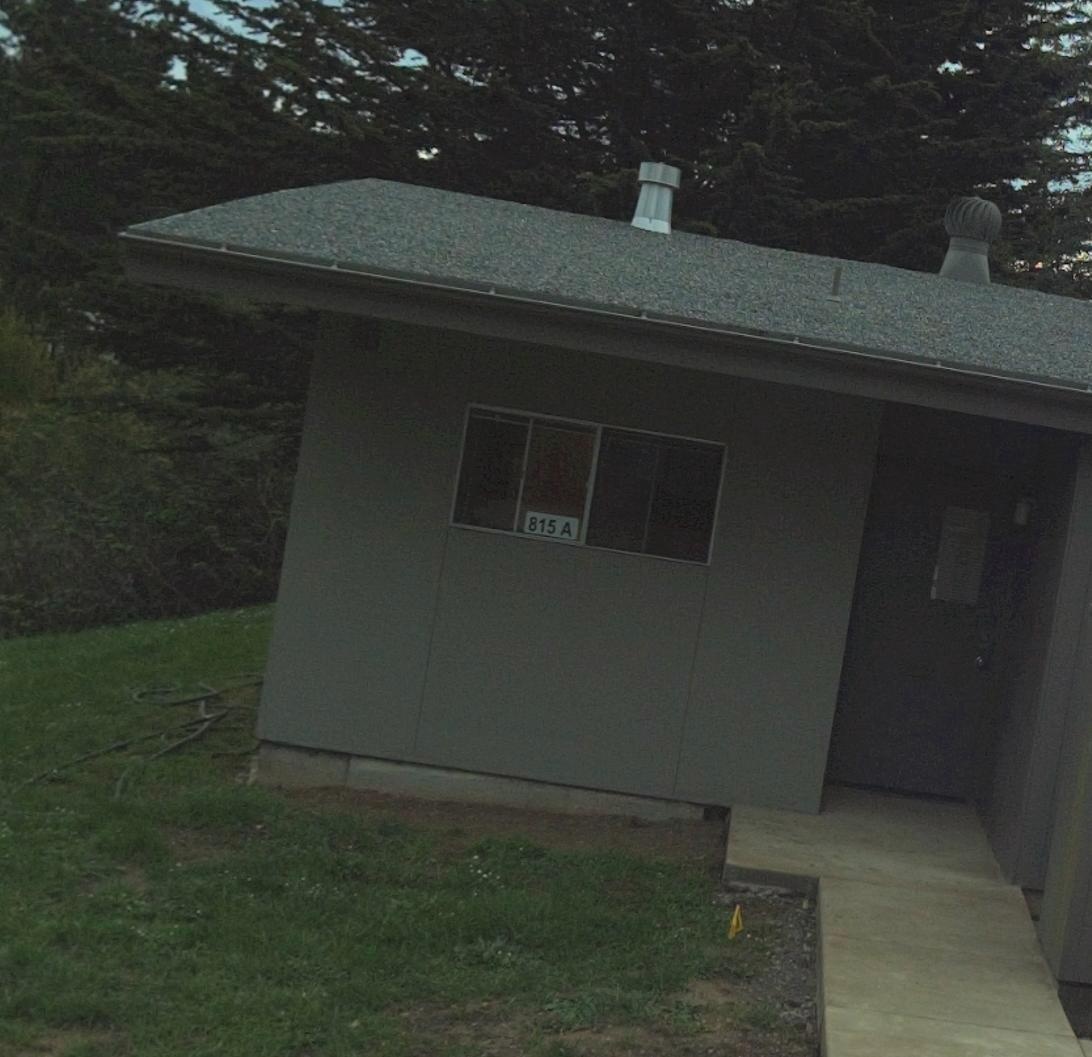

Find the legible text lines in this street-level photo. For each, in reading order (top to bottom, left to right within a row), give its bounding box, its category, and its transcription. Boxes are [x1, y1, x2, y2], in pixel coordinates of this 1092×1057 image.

[527, 512, 574, 539] StreetNumber: 815 A